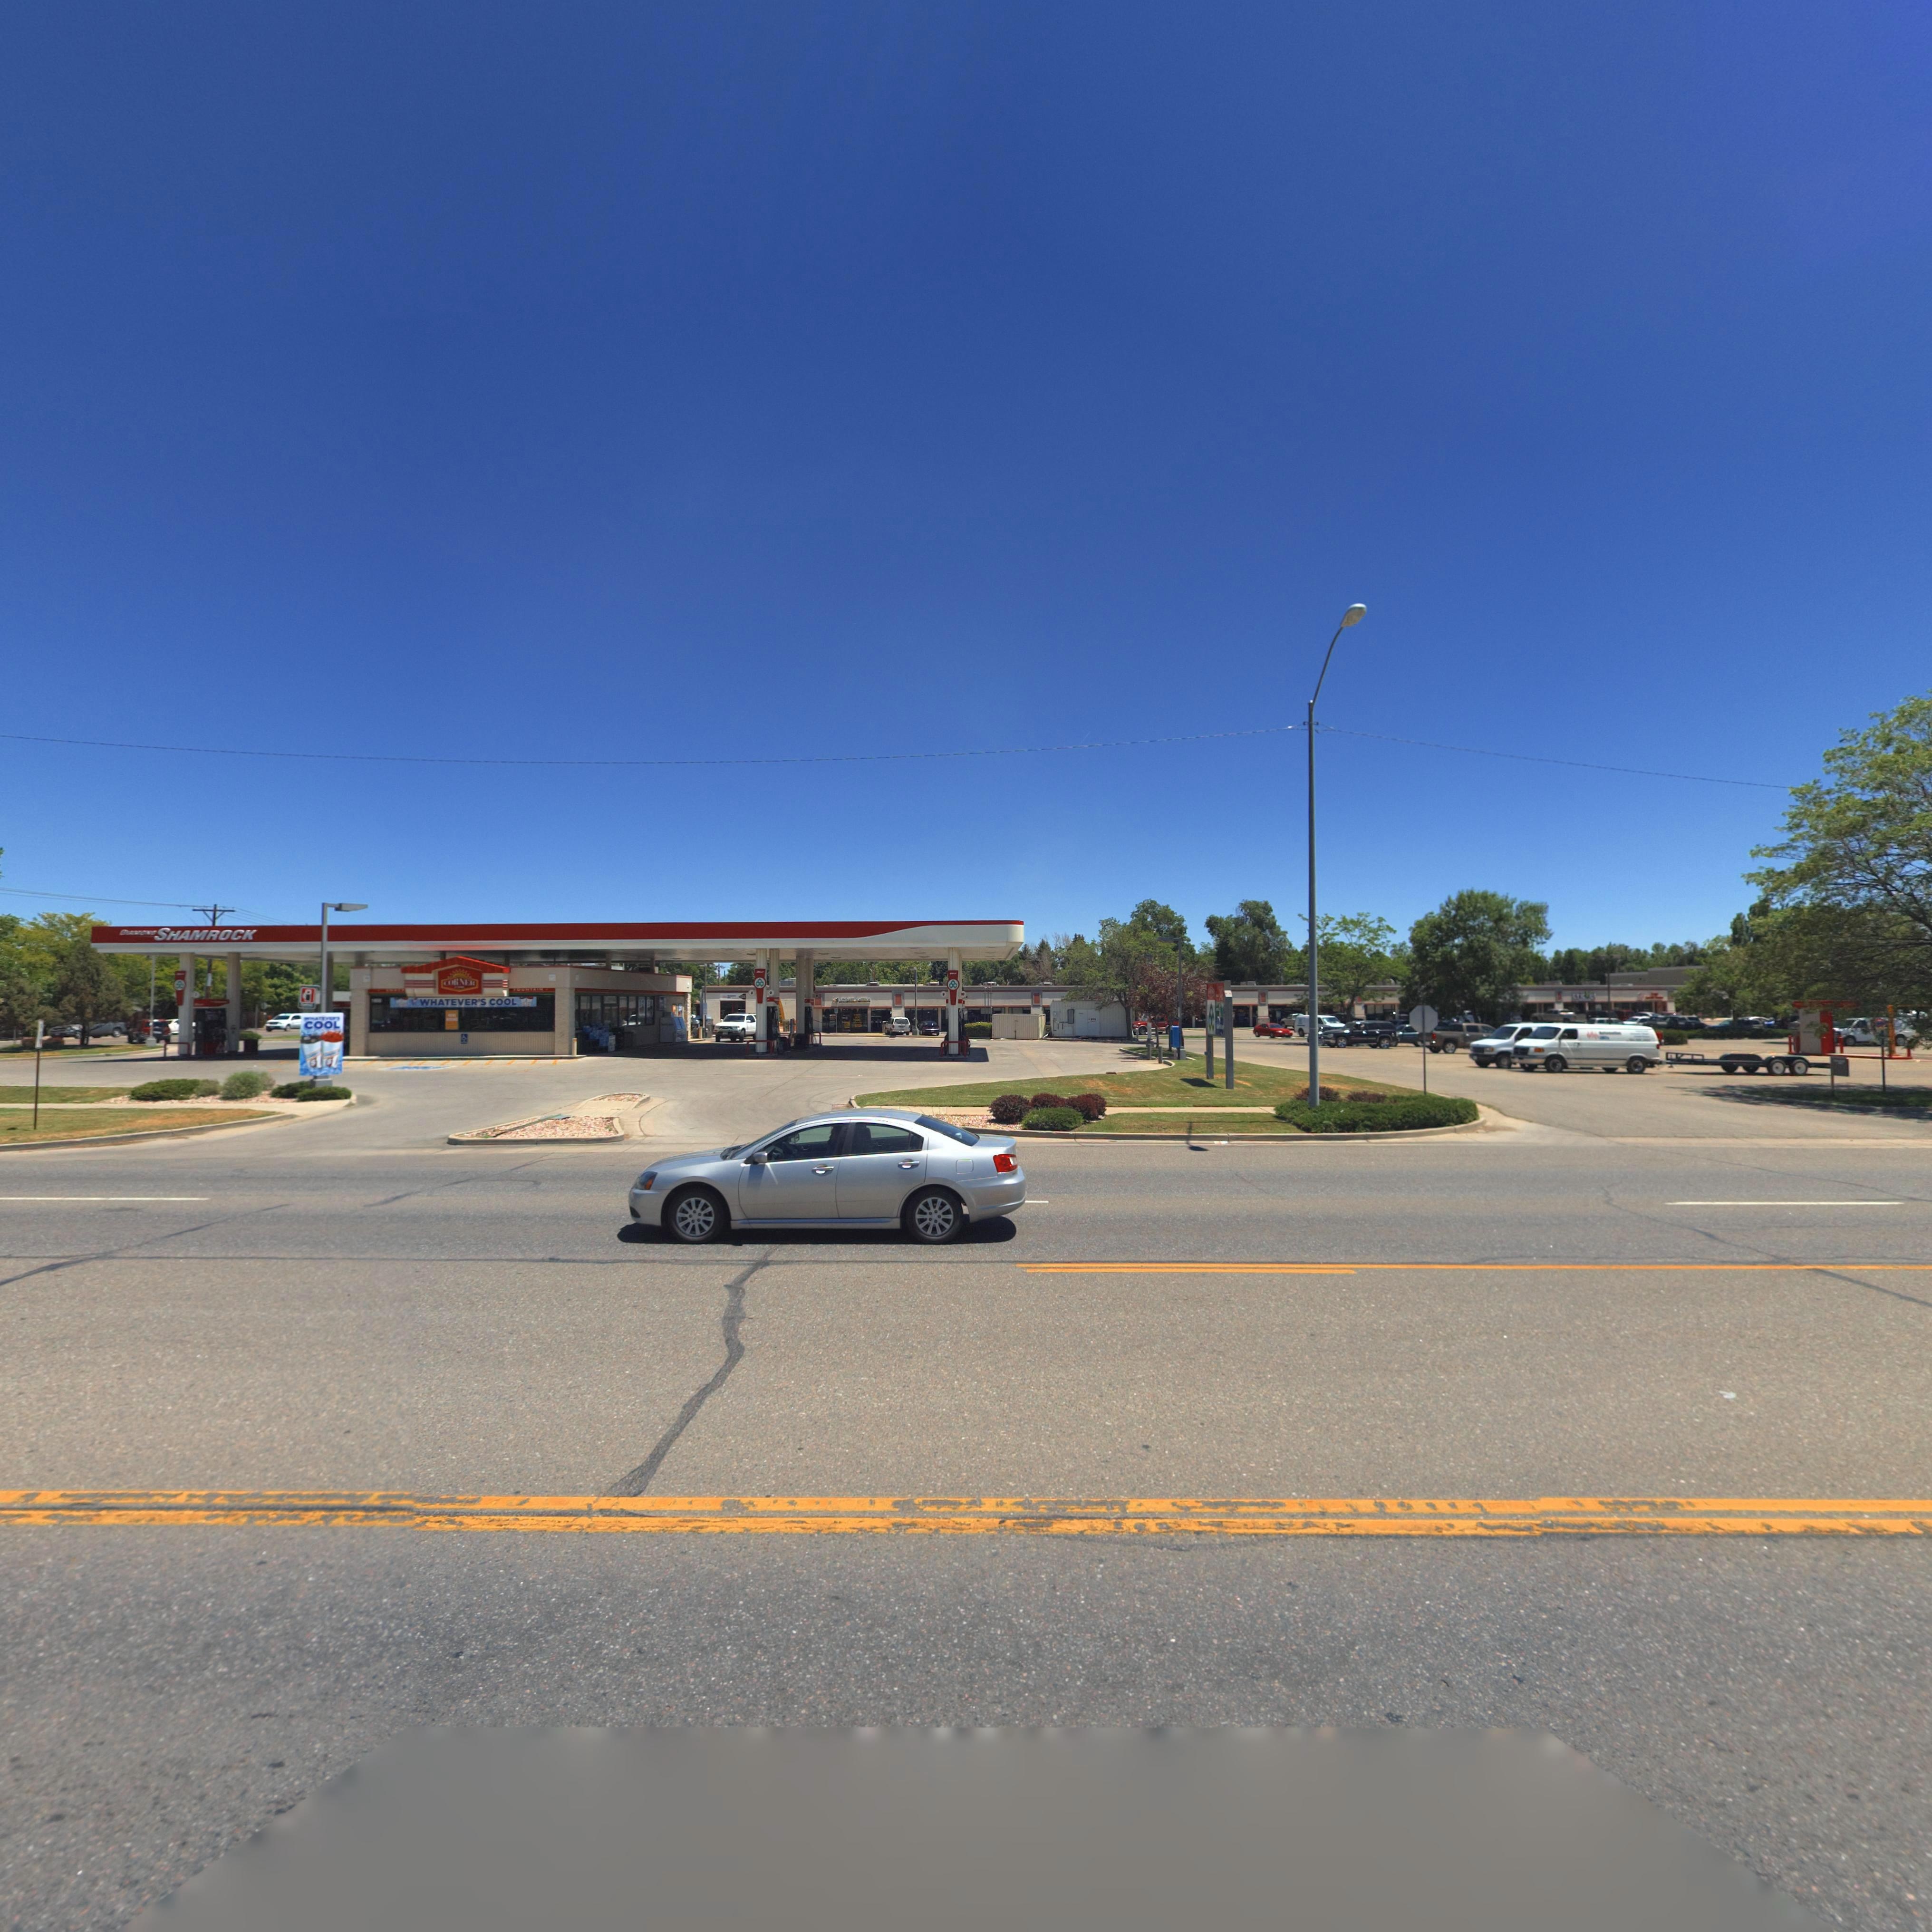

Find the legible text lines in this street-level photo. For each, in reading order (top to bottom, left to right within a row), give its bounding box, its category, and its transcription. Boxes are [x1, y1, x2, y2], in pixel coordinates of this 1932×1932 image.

[118, 928, 157, 936] BusinessName: Diamond
[152, 927, 258, 941] BusinessName: SHAMROCK
[443, 976, 475, 986] BusinessName: CORNER
[1572, 992, 1596, 1000] BusinessName: cricket